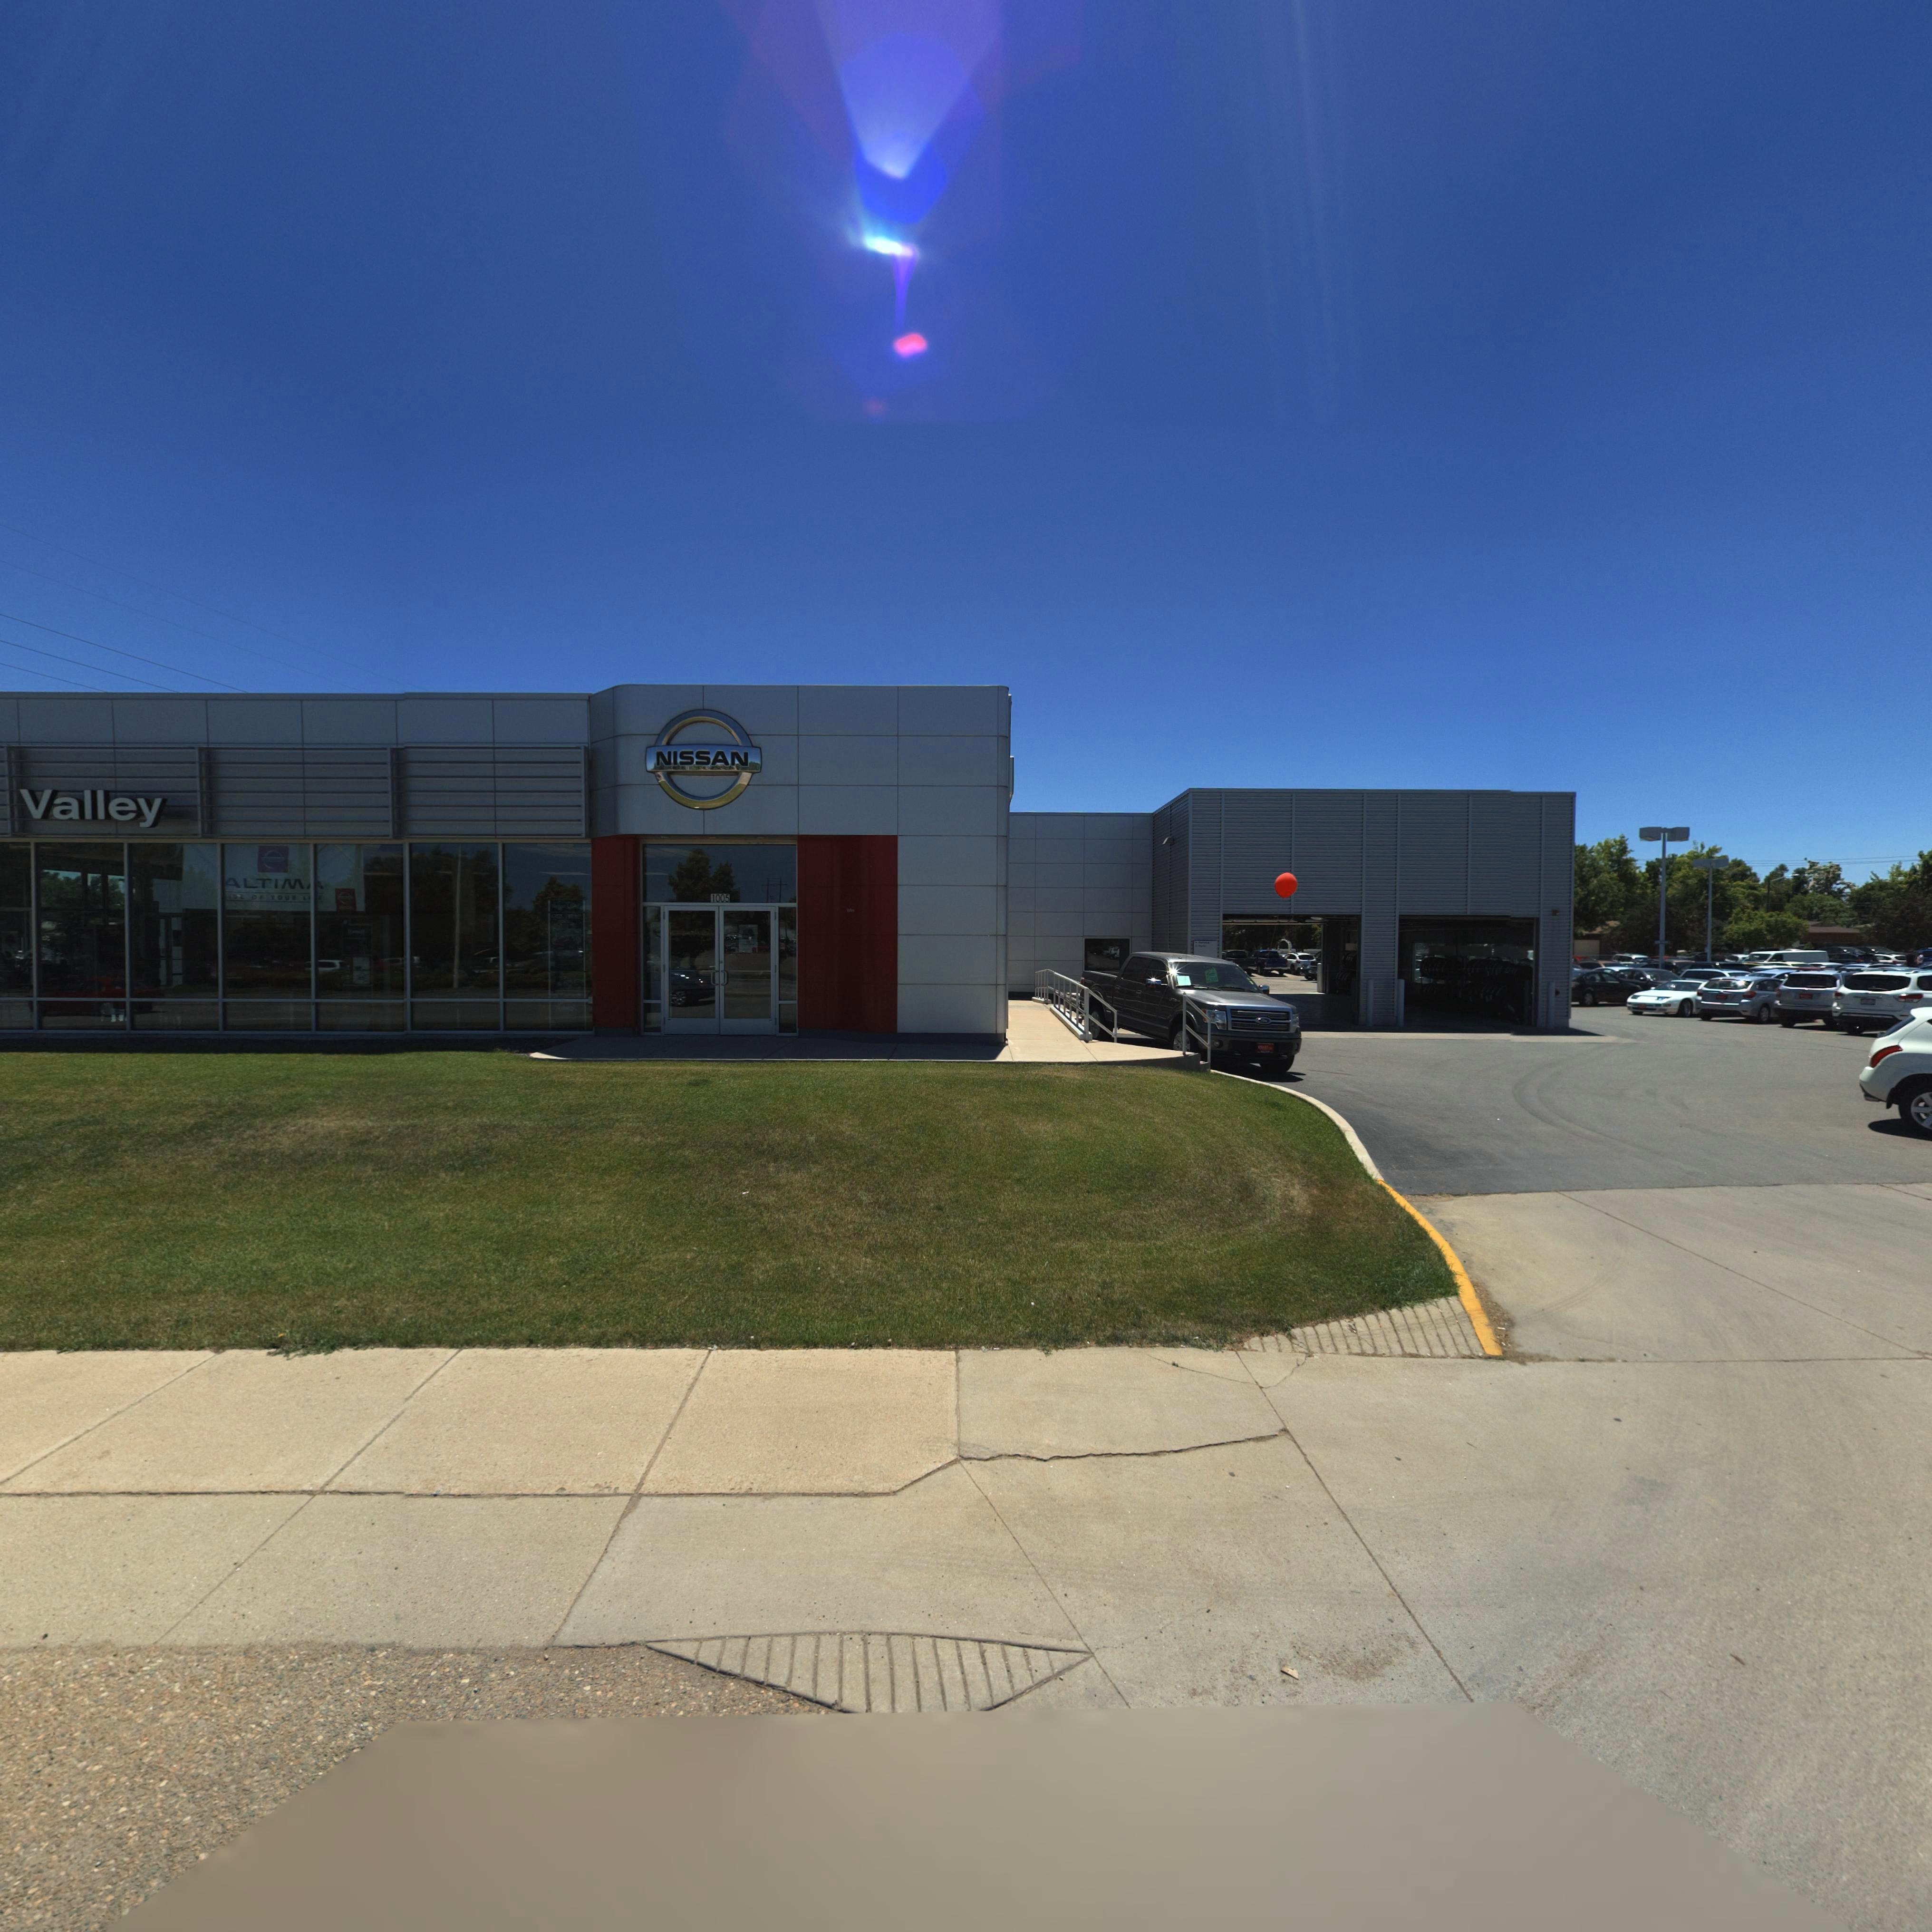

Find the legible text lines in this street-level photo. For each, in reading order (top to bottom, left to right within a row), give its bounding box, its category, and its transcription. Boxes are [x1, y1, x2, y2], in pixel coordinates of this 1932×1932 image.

[655, 749, 750, 767] BusinessName: NISSAN
[17, 788, 165, 829] BusinessName: Valley
[712, 893, 730, 903] StreetNumber: 1005